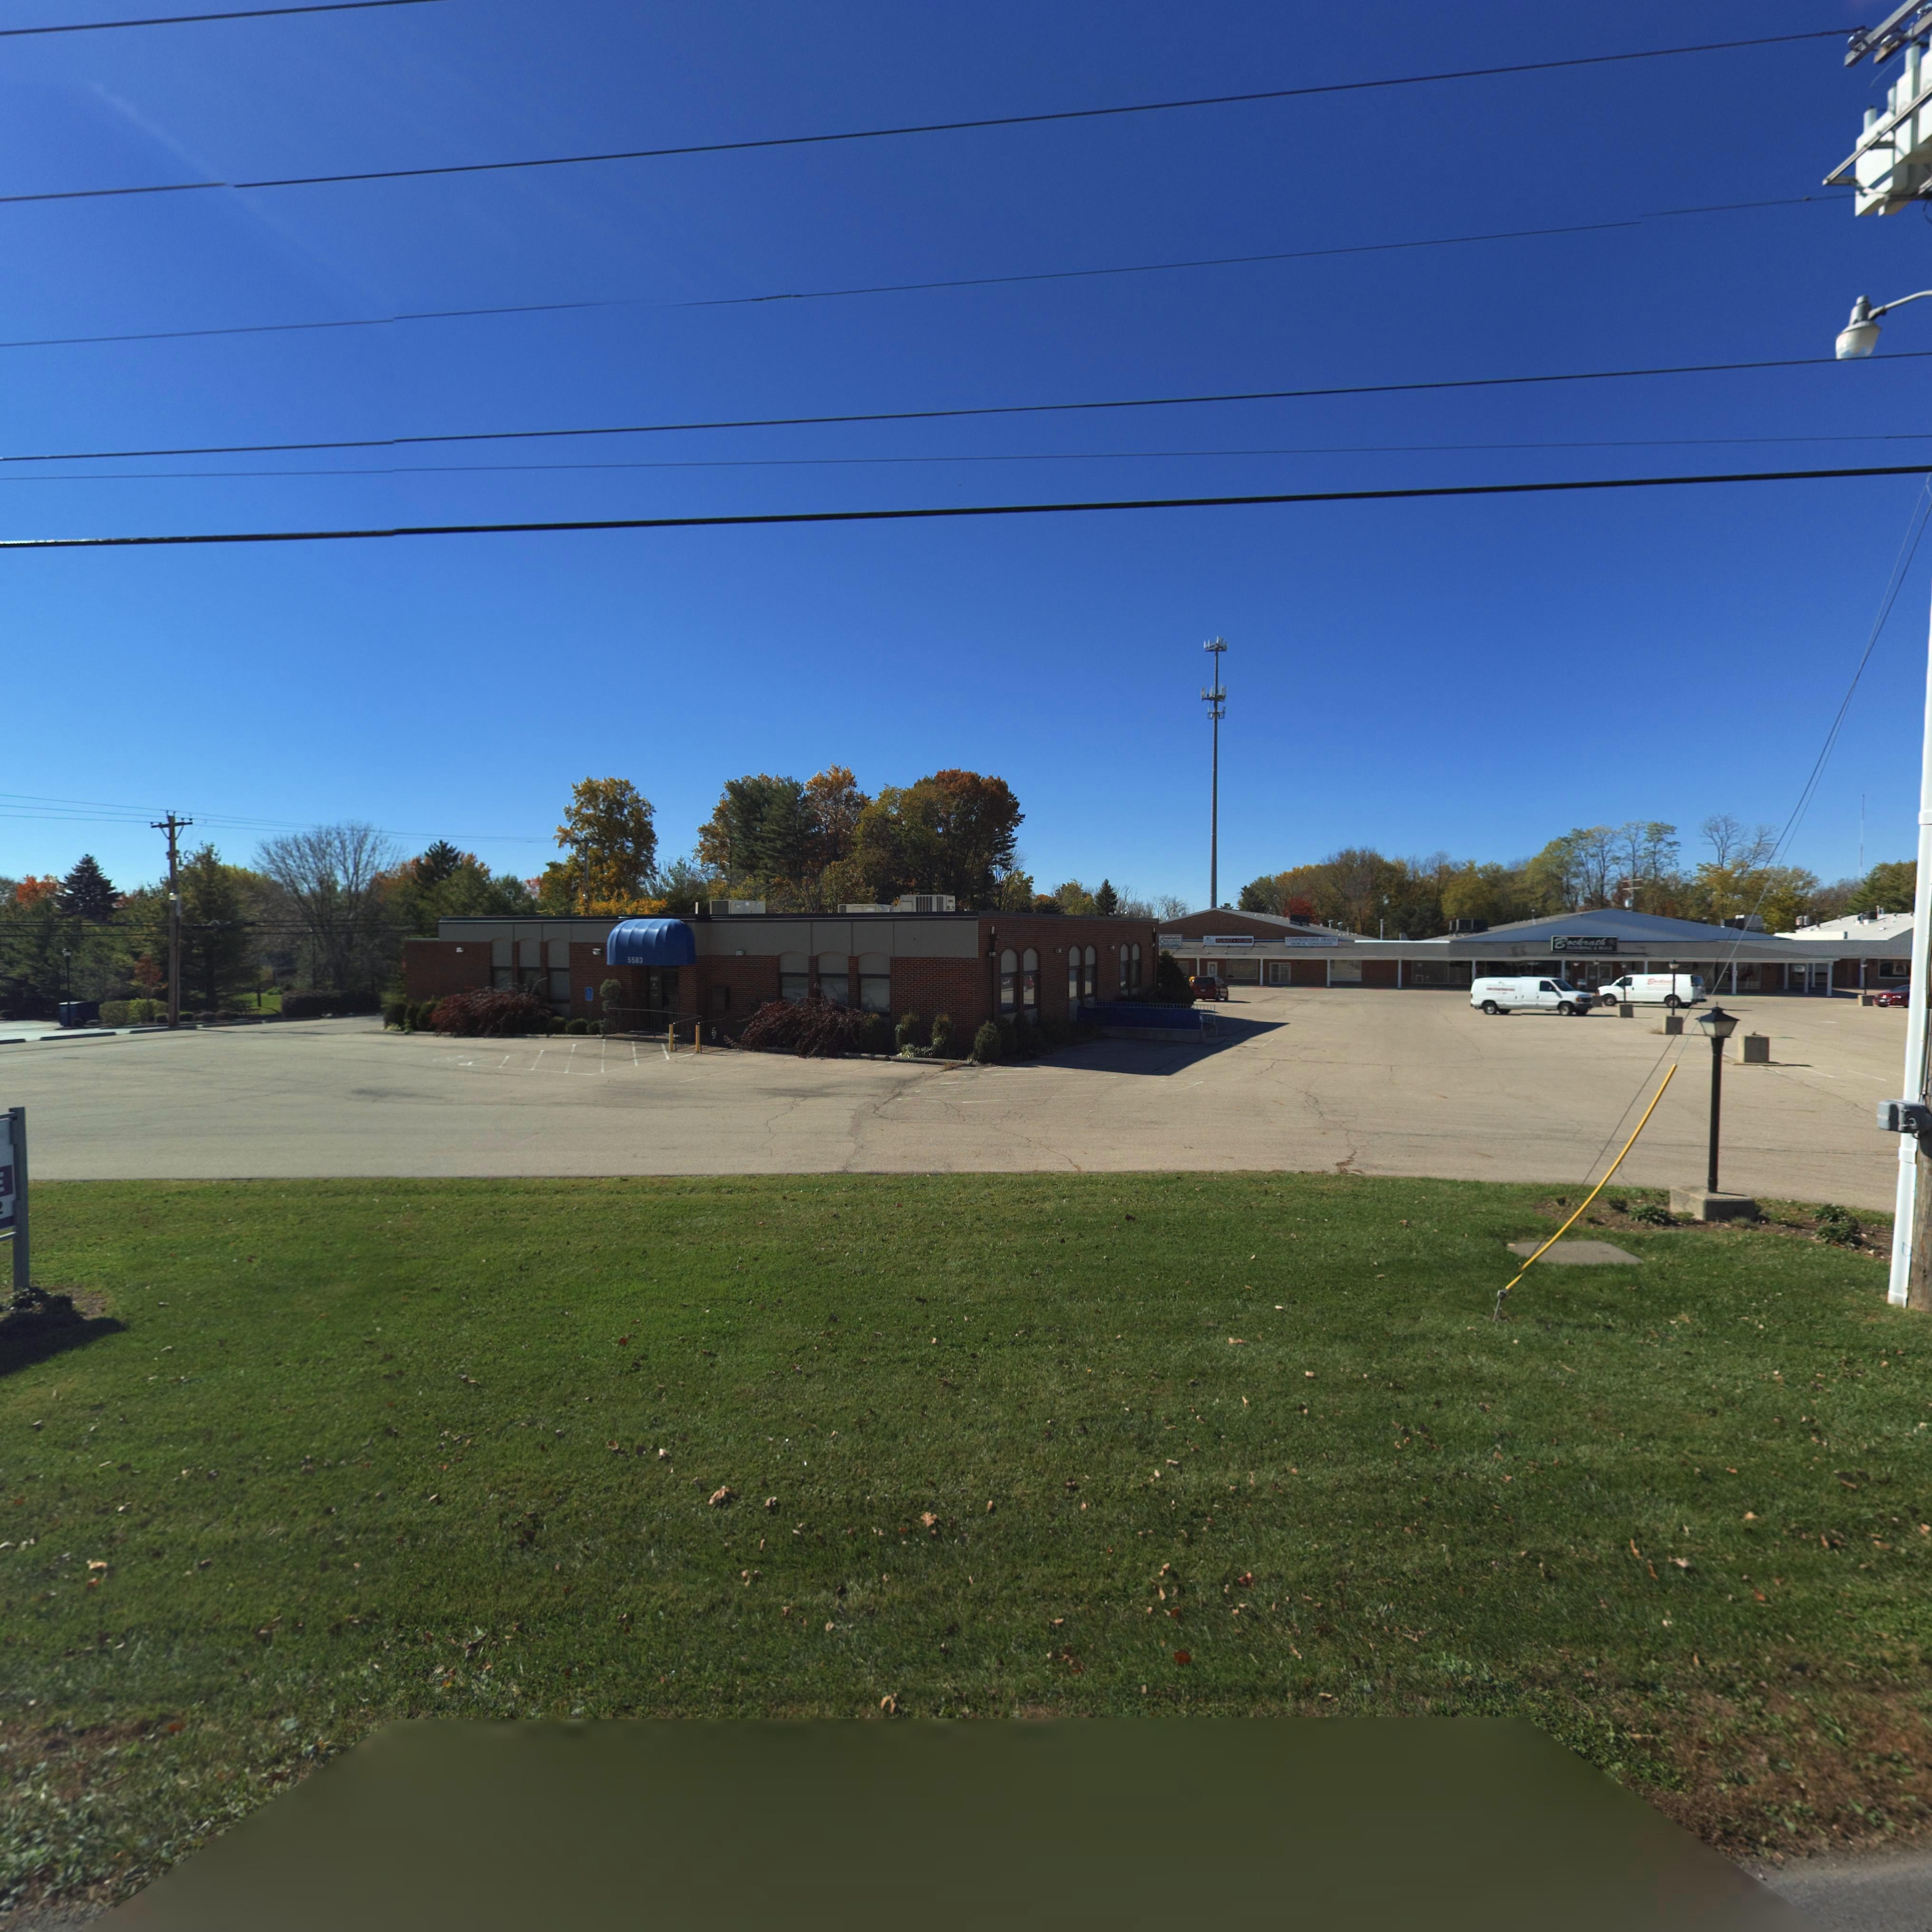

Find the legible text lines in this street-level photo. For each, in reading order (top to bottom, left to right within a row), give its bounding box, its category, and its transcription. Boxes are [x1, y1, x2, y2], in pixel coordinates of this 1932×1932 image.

[1158, 938, 1180, 945] BusinessName: O******
[1285, 937, 1338, 941] BusinessName: COMPREHENSIVE HEALTH
[1553, 937, 1609, 949] BusinessName: Bockrath
[1596, 945, 1614, 951] BusinessName: RUGS
[627, 956, 644, 965] StreetNumber: 5583